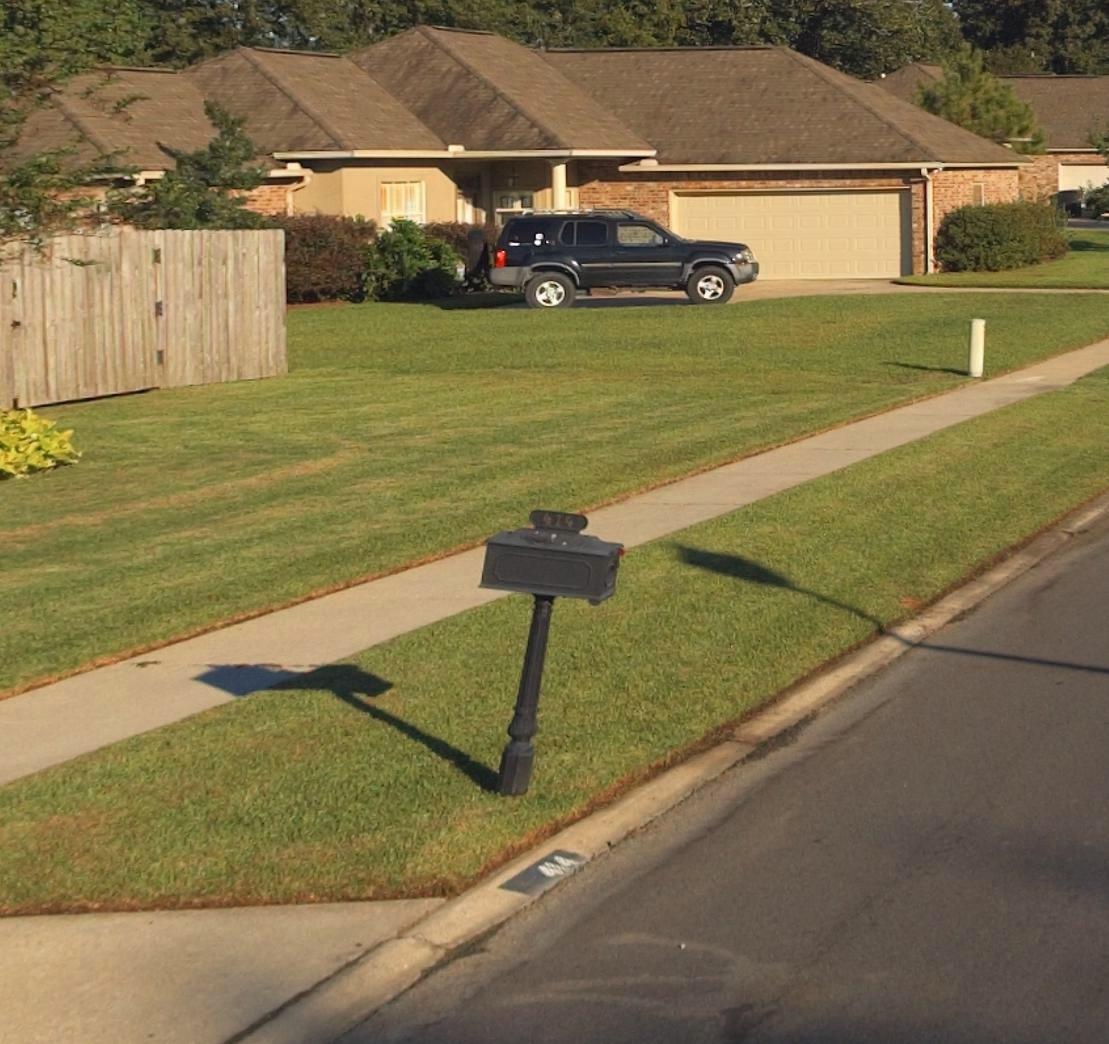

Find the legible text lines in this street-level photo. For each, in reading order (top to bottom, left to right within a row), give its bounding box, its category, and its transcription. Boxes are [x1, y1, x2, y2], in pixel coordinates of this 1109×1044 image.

[541, 511, 576, 529] StreetNumber: 414